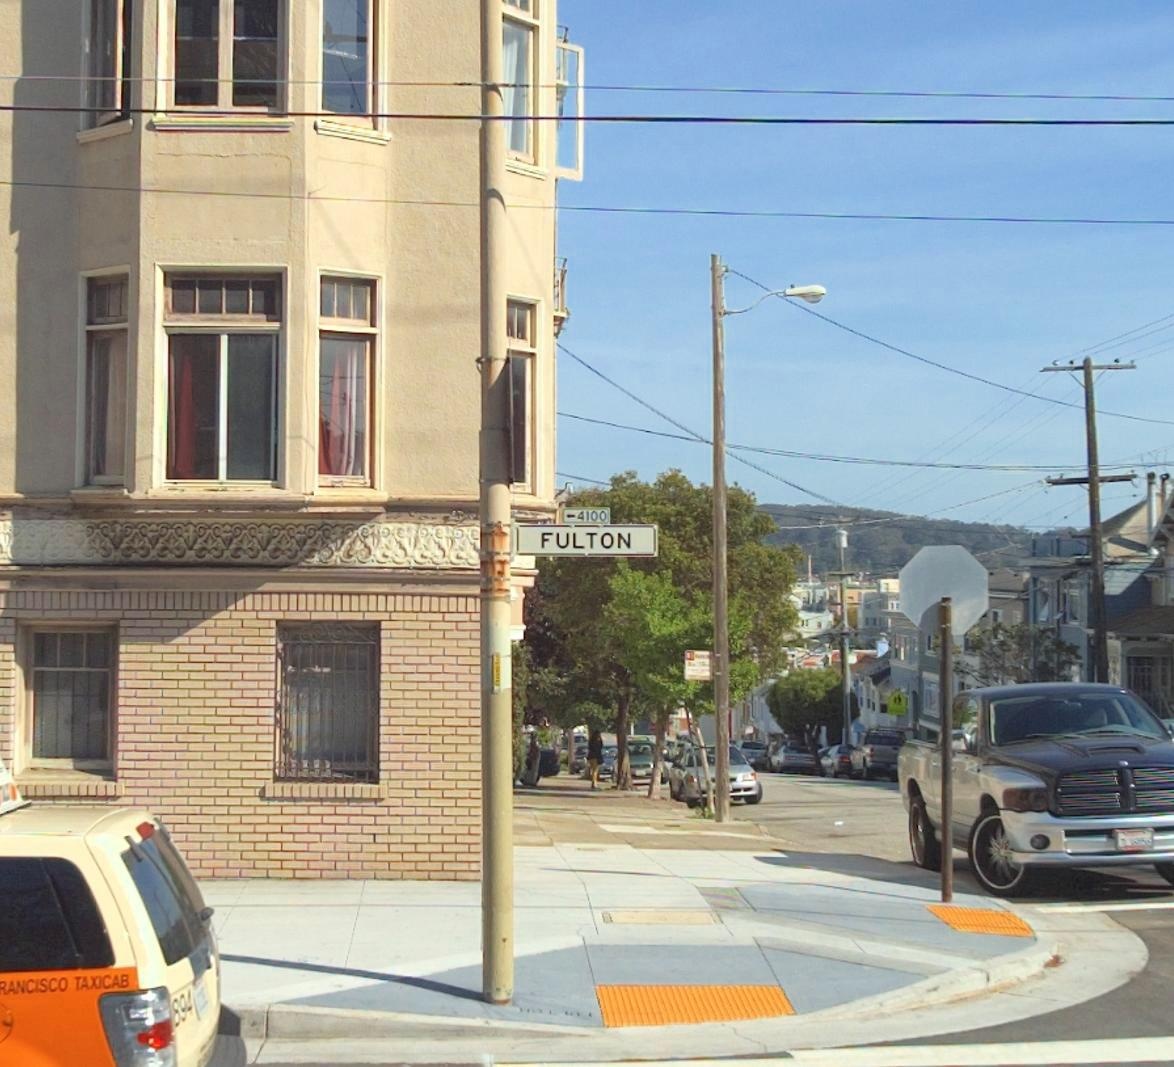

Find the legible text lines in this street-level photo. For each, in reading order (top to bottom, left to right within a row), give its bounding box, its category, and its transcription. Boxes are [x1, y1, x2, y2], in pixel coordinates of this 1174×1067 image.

[563, 508, 606, 522] StreetNumberRange: <-4100
[540, 529, 632, 551] StreetName: FULTON
[1, 971, 132, 998] None: *ANCISCO TAXICAB
[168, 986, 196, 1031] None: 894